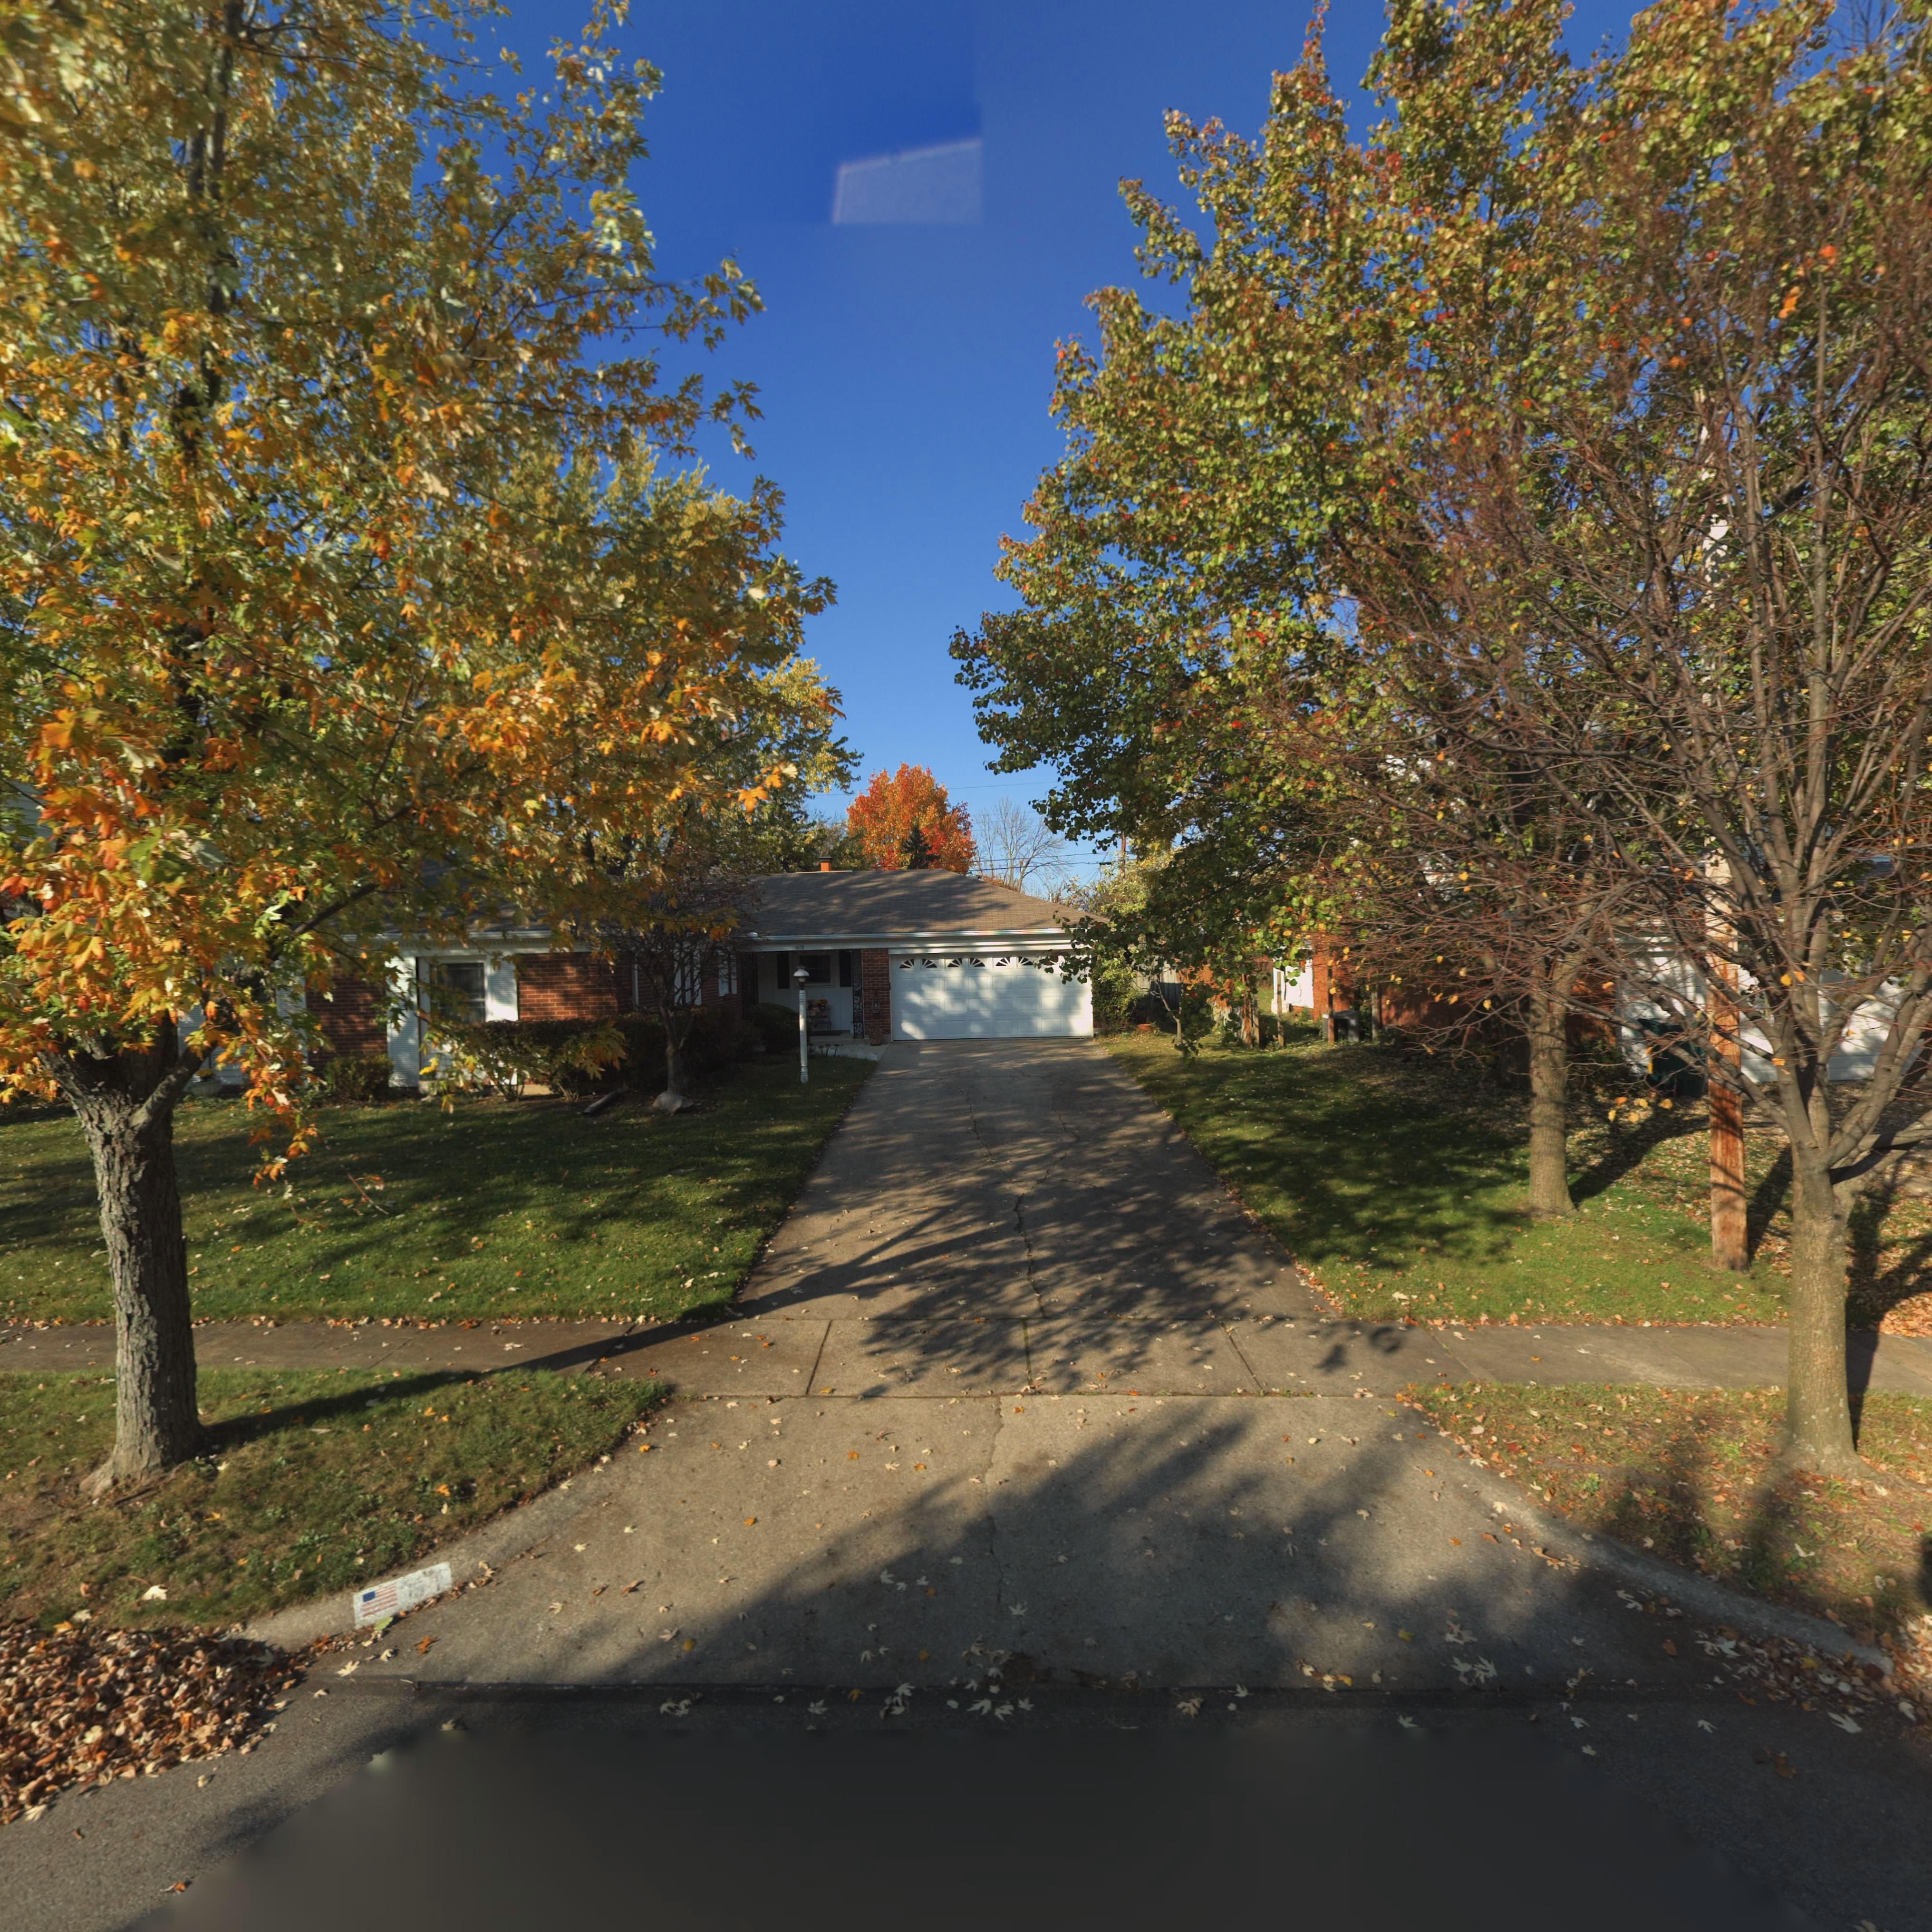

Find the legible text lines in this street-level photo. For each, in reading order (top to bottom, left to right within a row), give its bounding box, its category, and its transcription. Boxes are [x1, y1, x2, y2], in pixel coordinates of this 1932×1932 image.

[795, 945, 804, 950] StreetNumber: 651
[399, 1572, 443, 1604] StreetNumber: *51